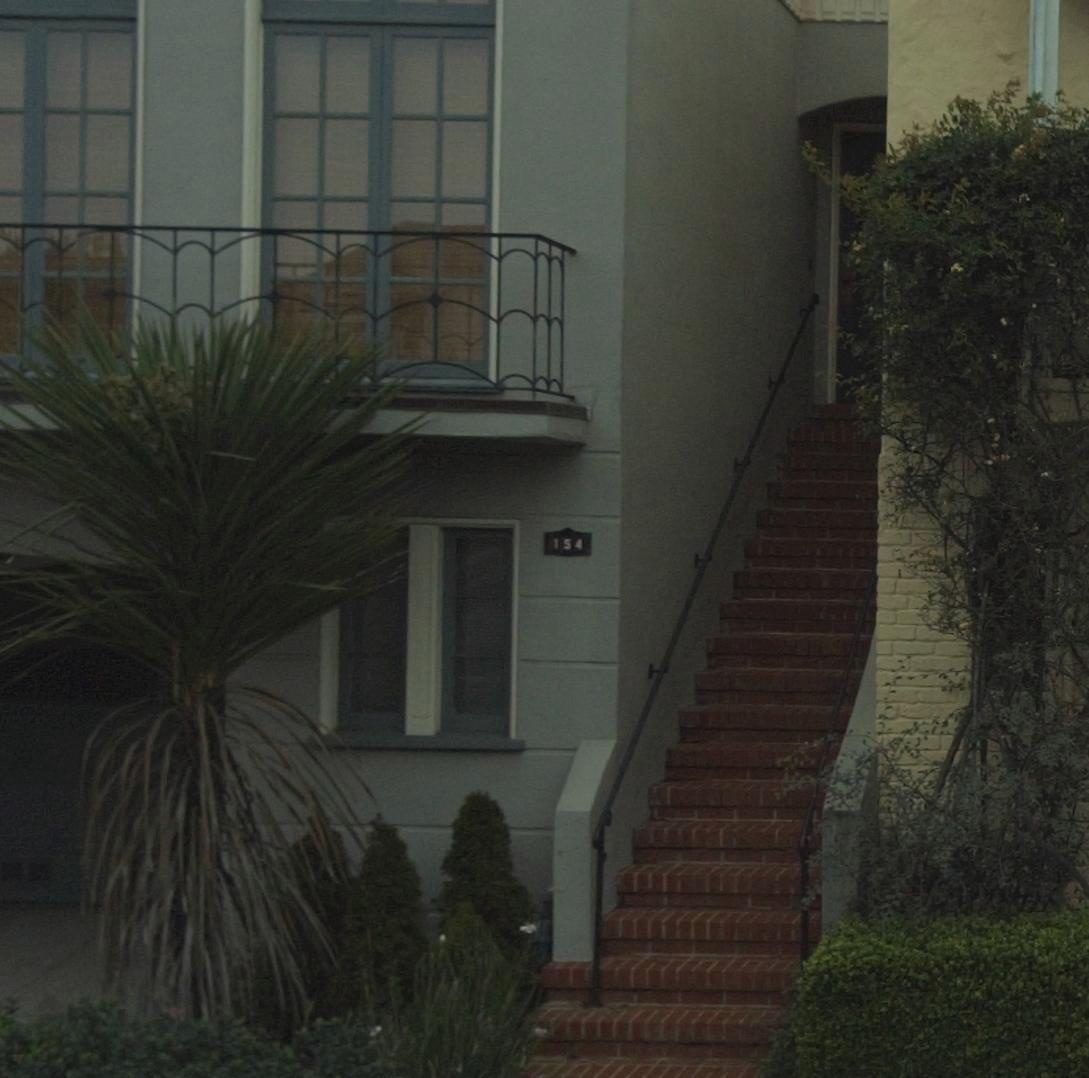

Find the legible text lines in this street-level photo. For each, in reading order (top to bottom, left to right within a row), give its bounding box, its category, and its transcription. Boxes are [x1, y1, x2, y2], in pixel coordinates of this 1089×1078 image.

[551, 536, 586, 552] StreetNumber: 154